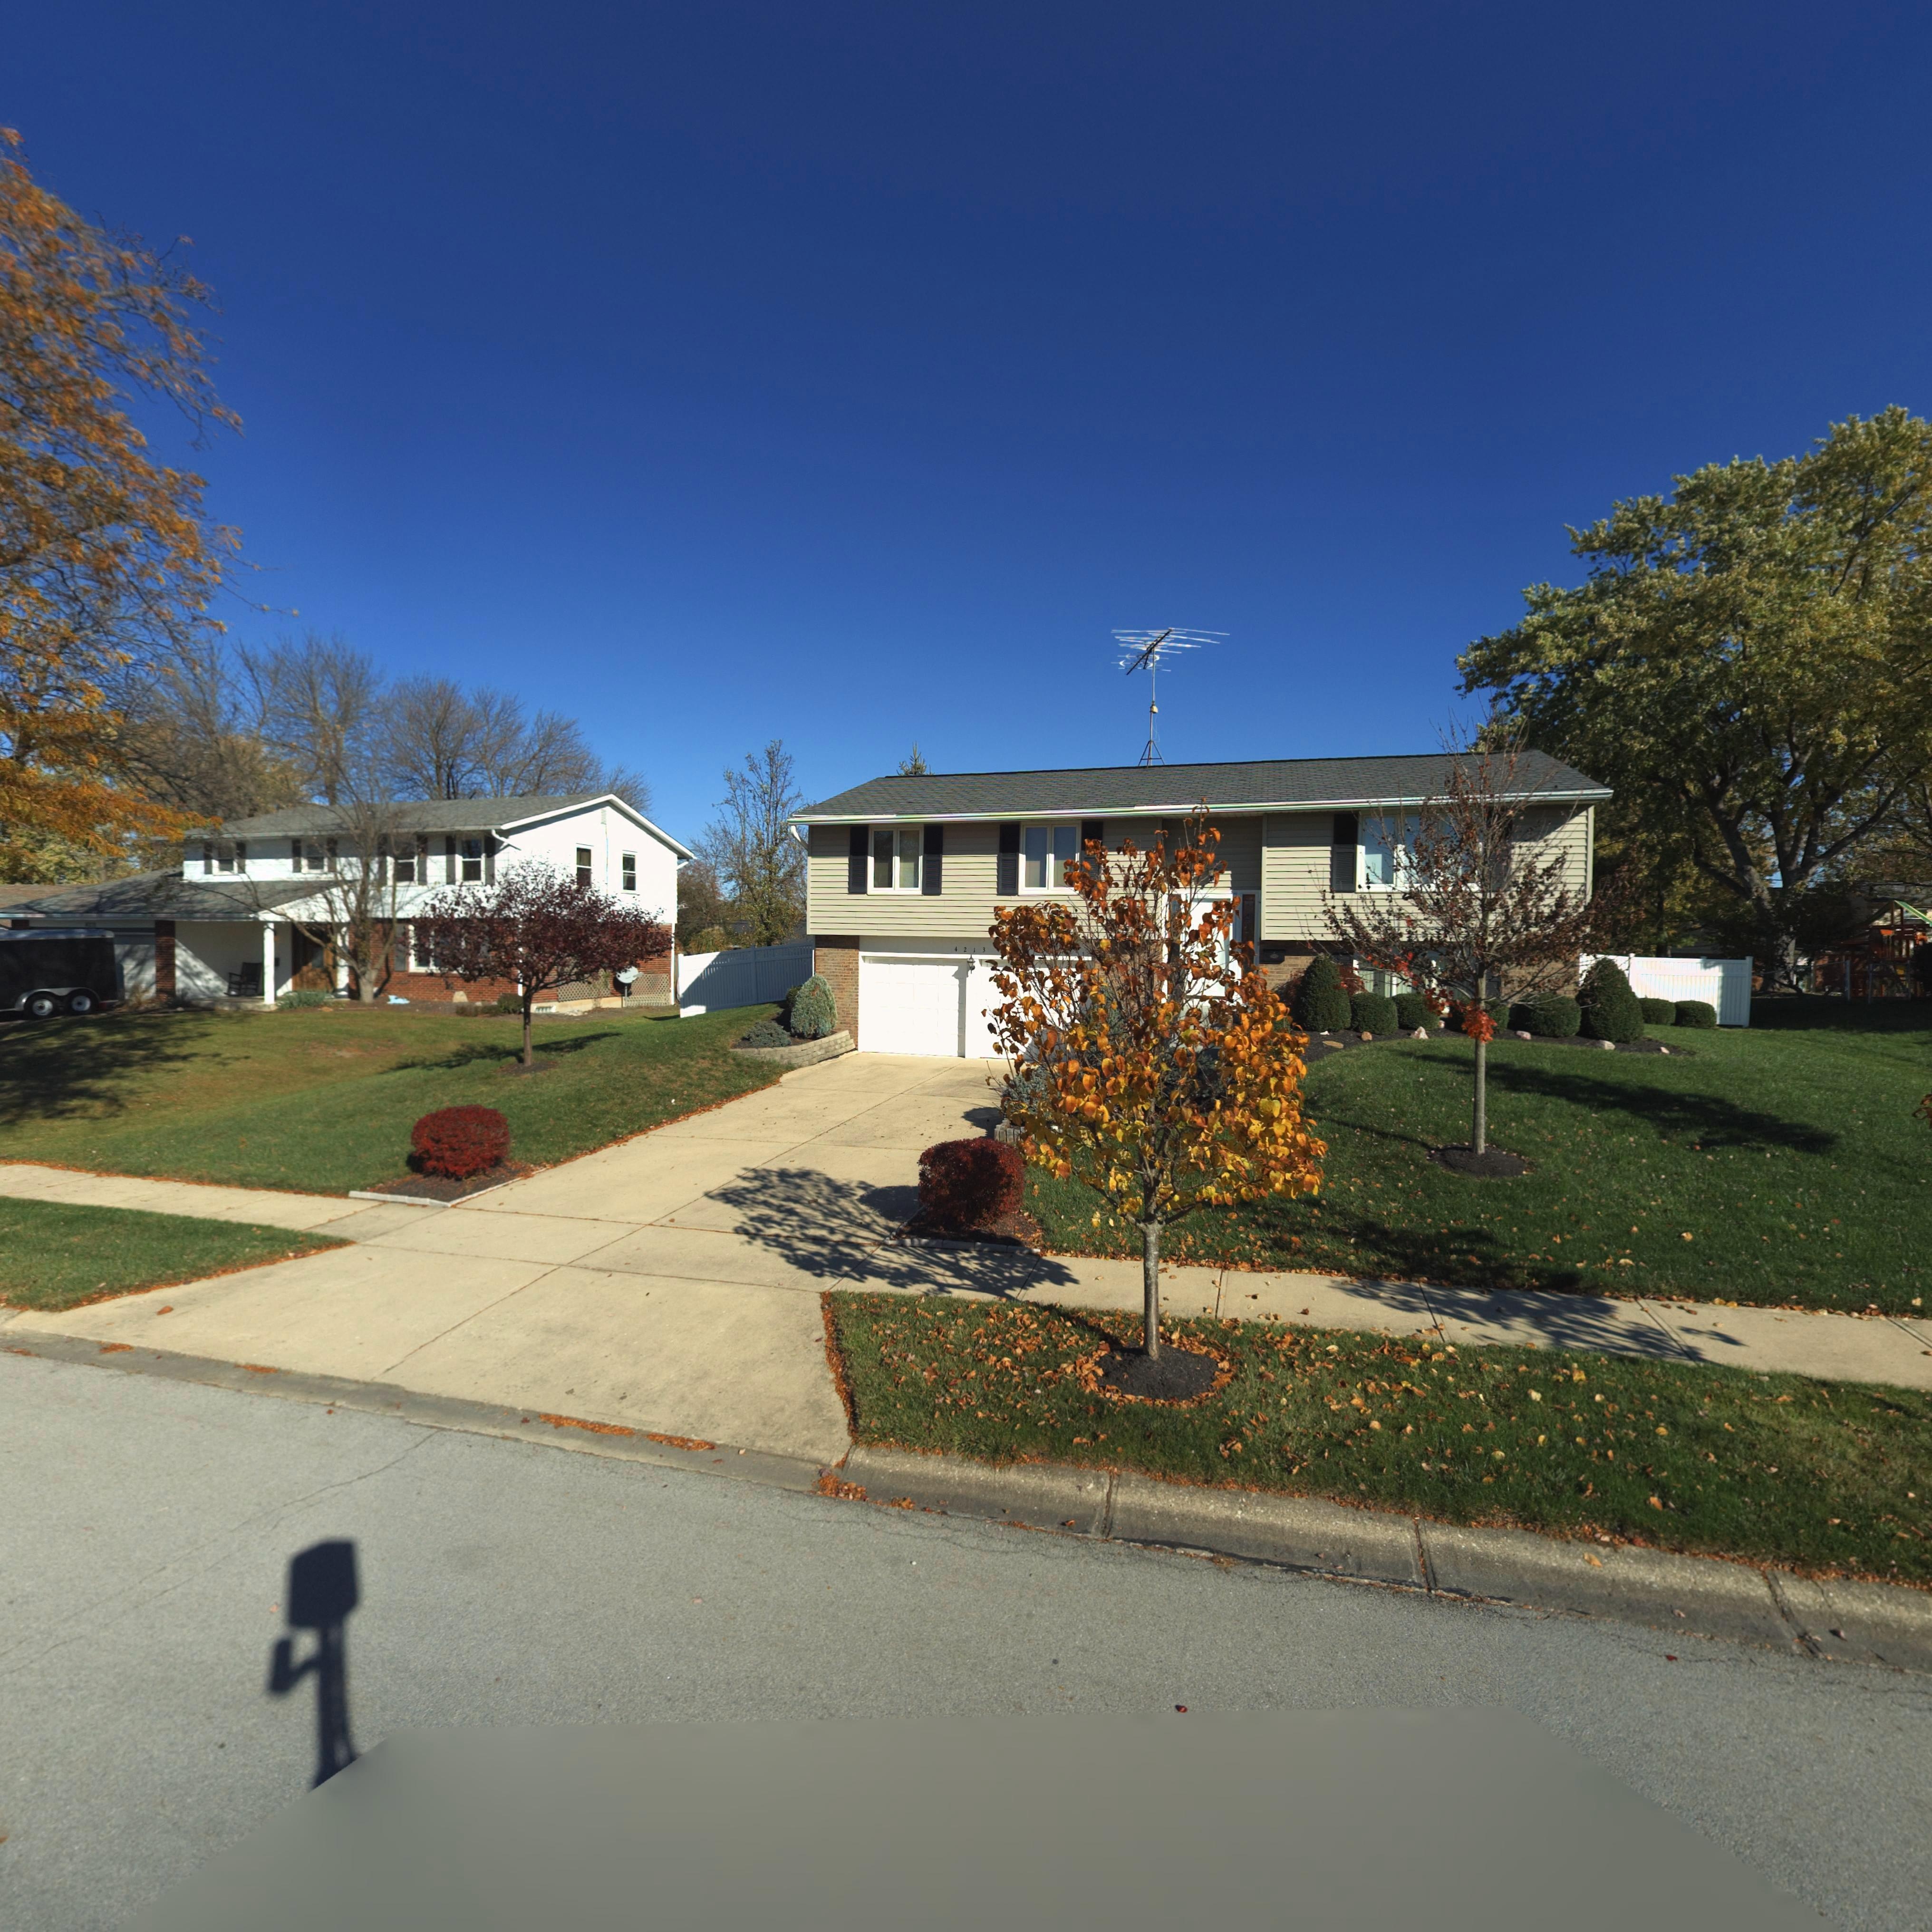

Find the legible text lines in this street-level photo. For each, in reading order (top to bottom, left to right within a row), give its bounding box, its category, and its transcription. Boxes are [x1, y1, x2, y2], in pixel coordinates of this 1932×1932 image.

[953, 946, 986, 954] StreetNumber: 4213